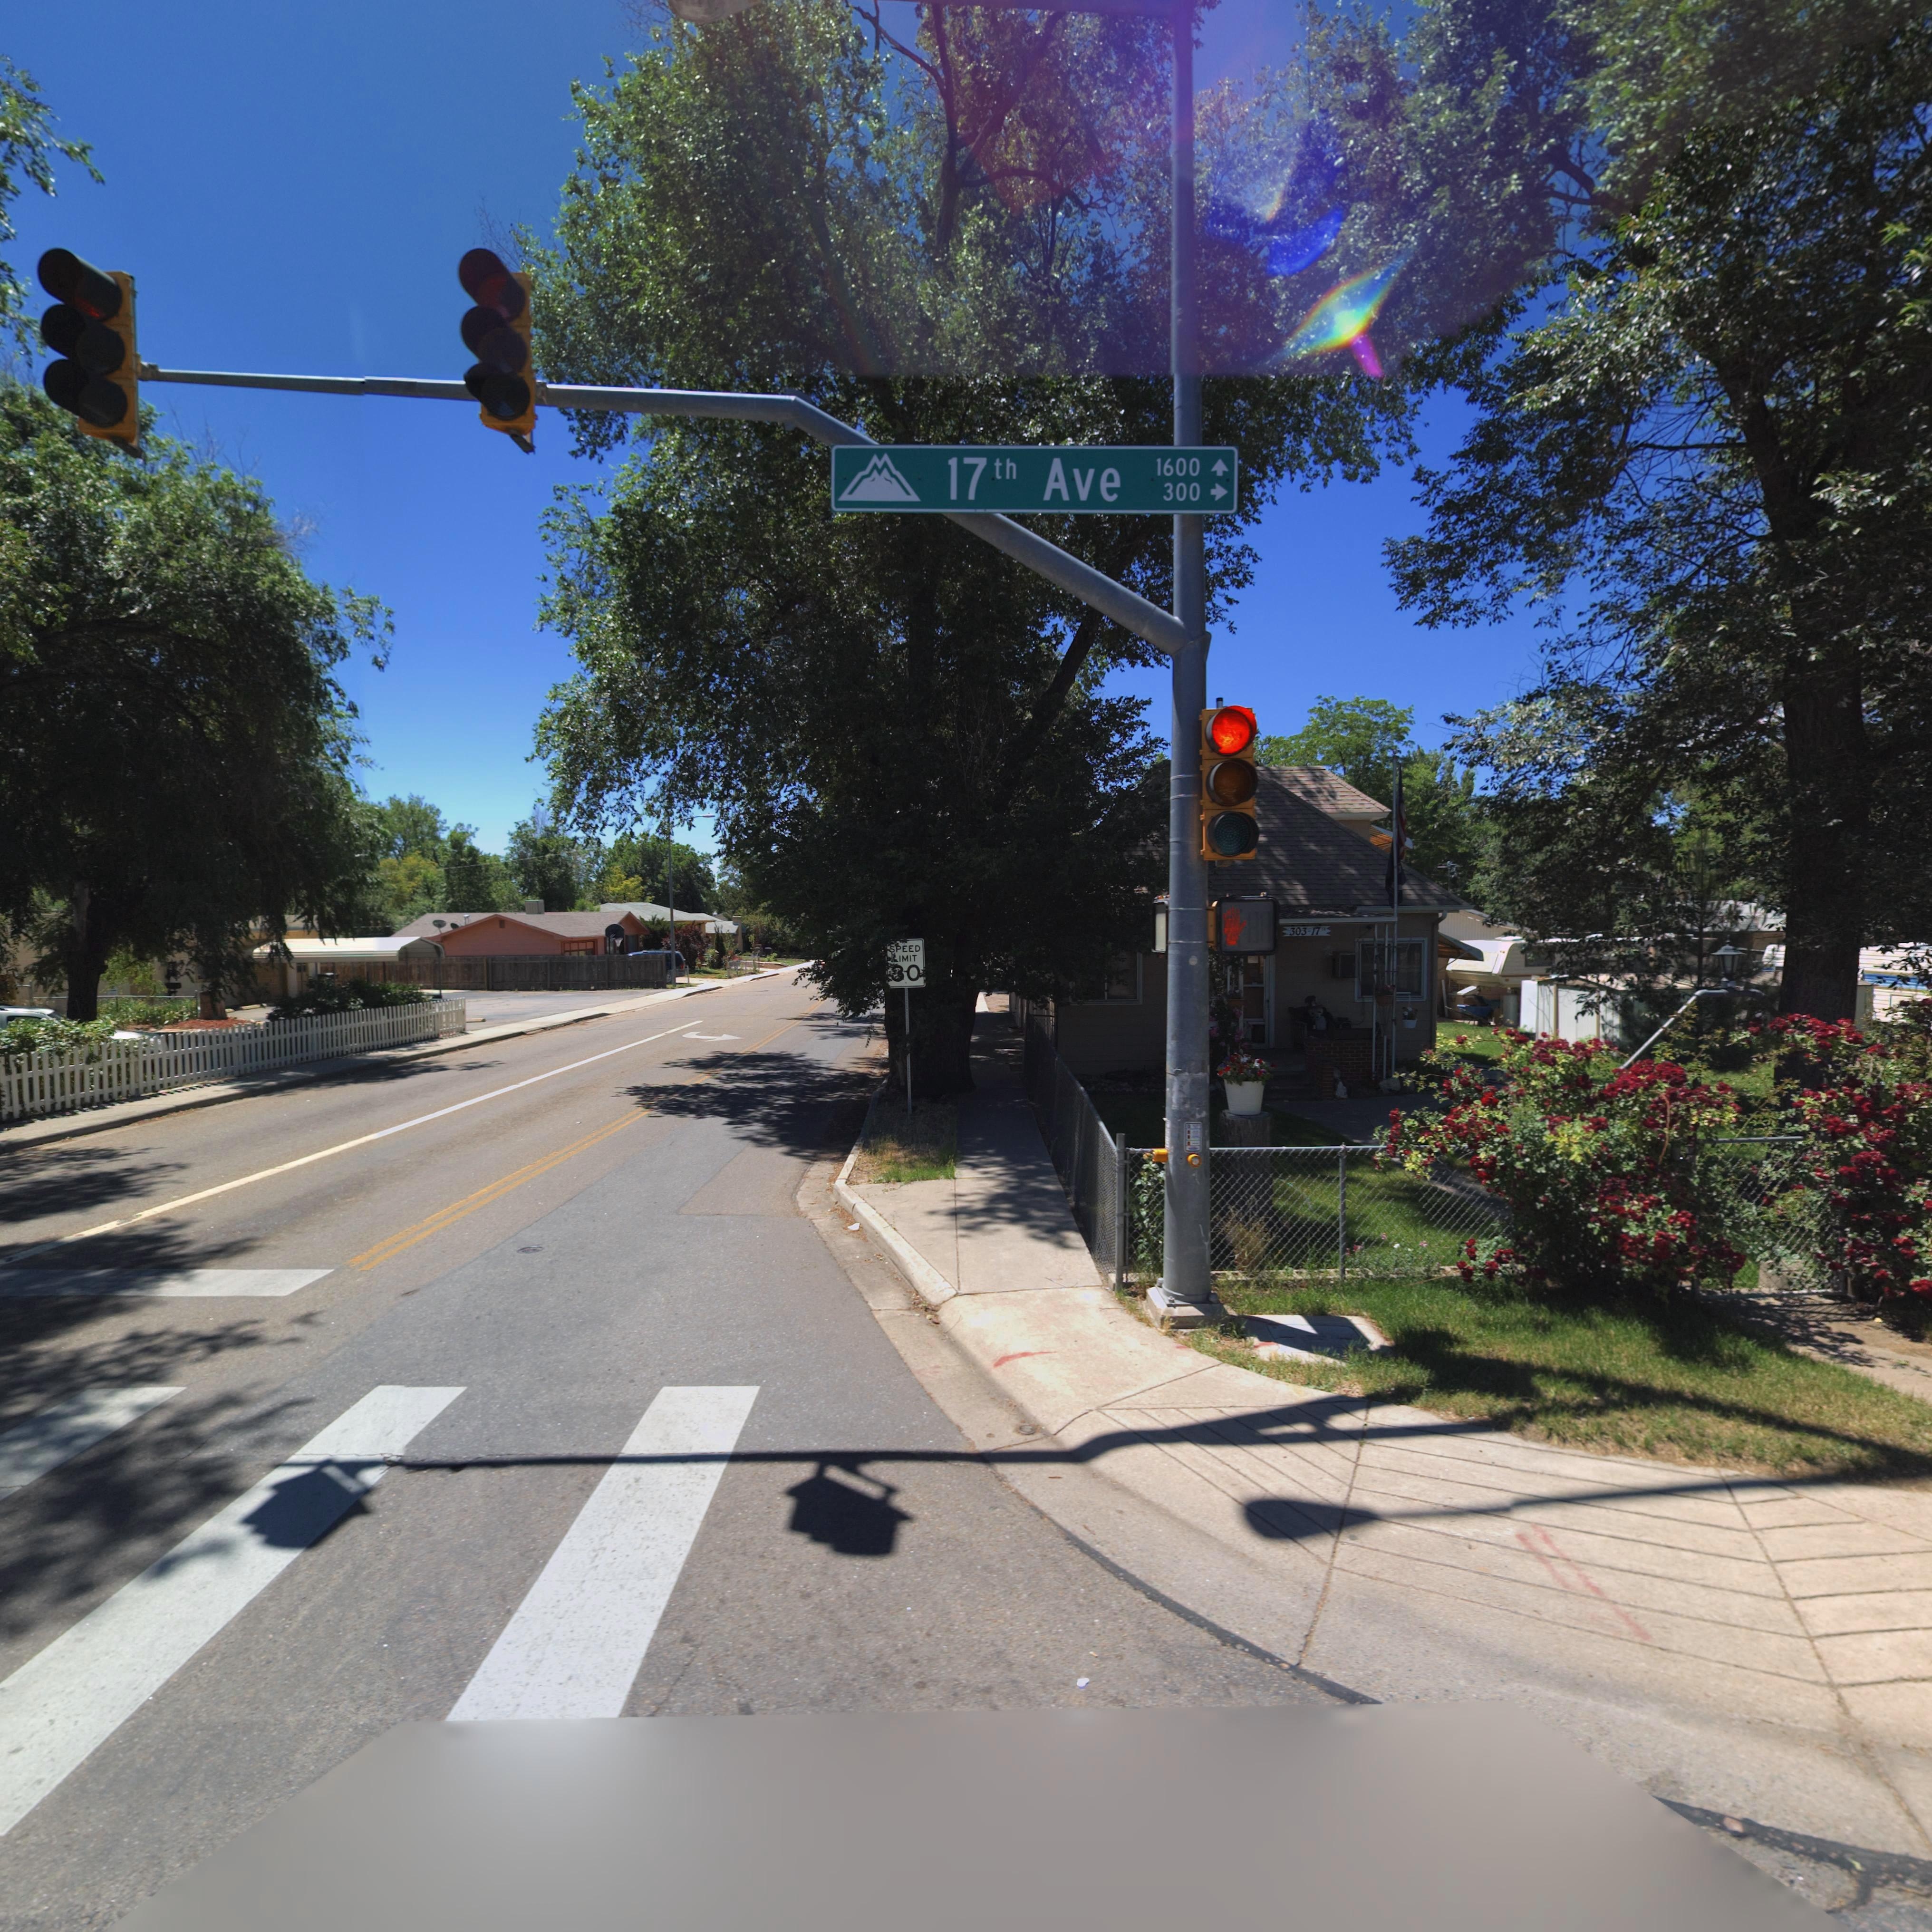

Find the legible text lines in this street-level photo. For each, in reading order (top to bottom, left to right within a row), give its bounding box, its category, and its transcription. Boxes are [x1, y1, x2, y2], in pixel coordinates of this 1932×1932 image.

[1156, 457, 1200, 476] StreetNumberRange: 1600
[947, 455, 1121, 502] StreetName: 17th Ave
[1163, 482, 1228, 501] StreetNumberRange: 300->
[1289, 927, 1307, 936] StreetNumber: 303
[1310, 927, 1321, 935] StreetNumber: 17